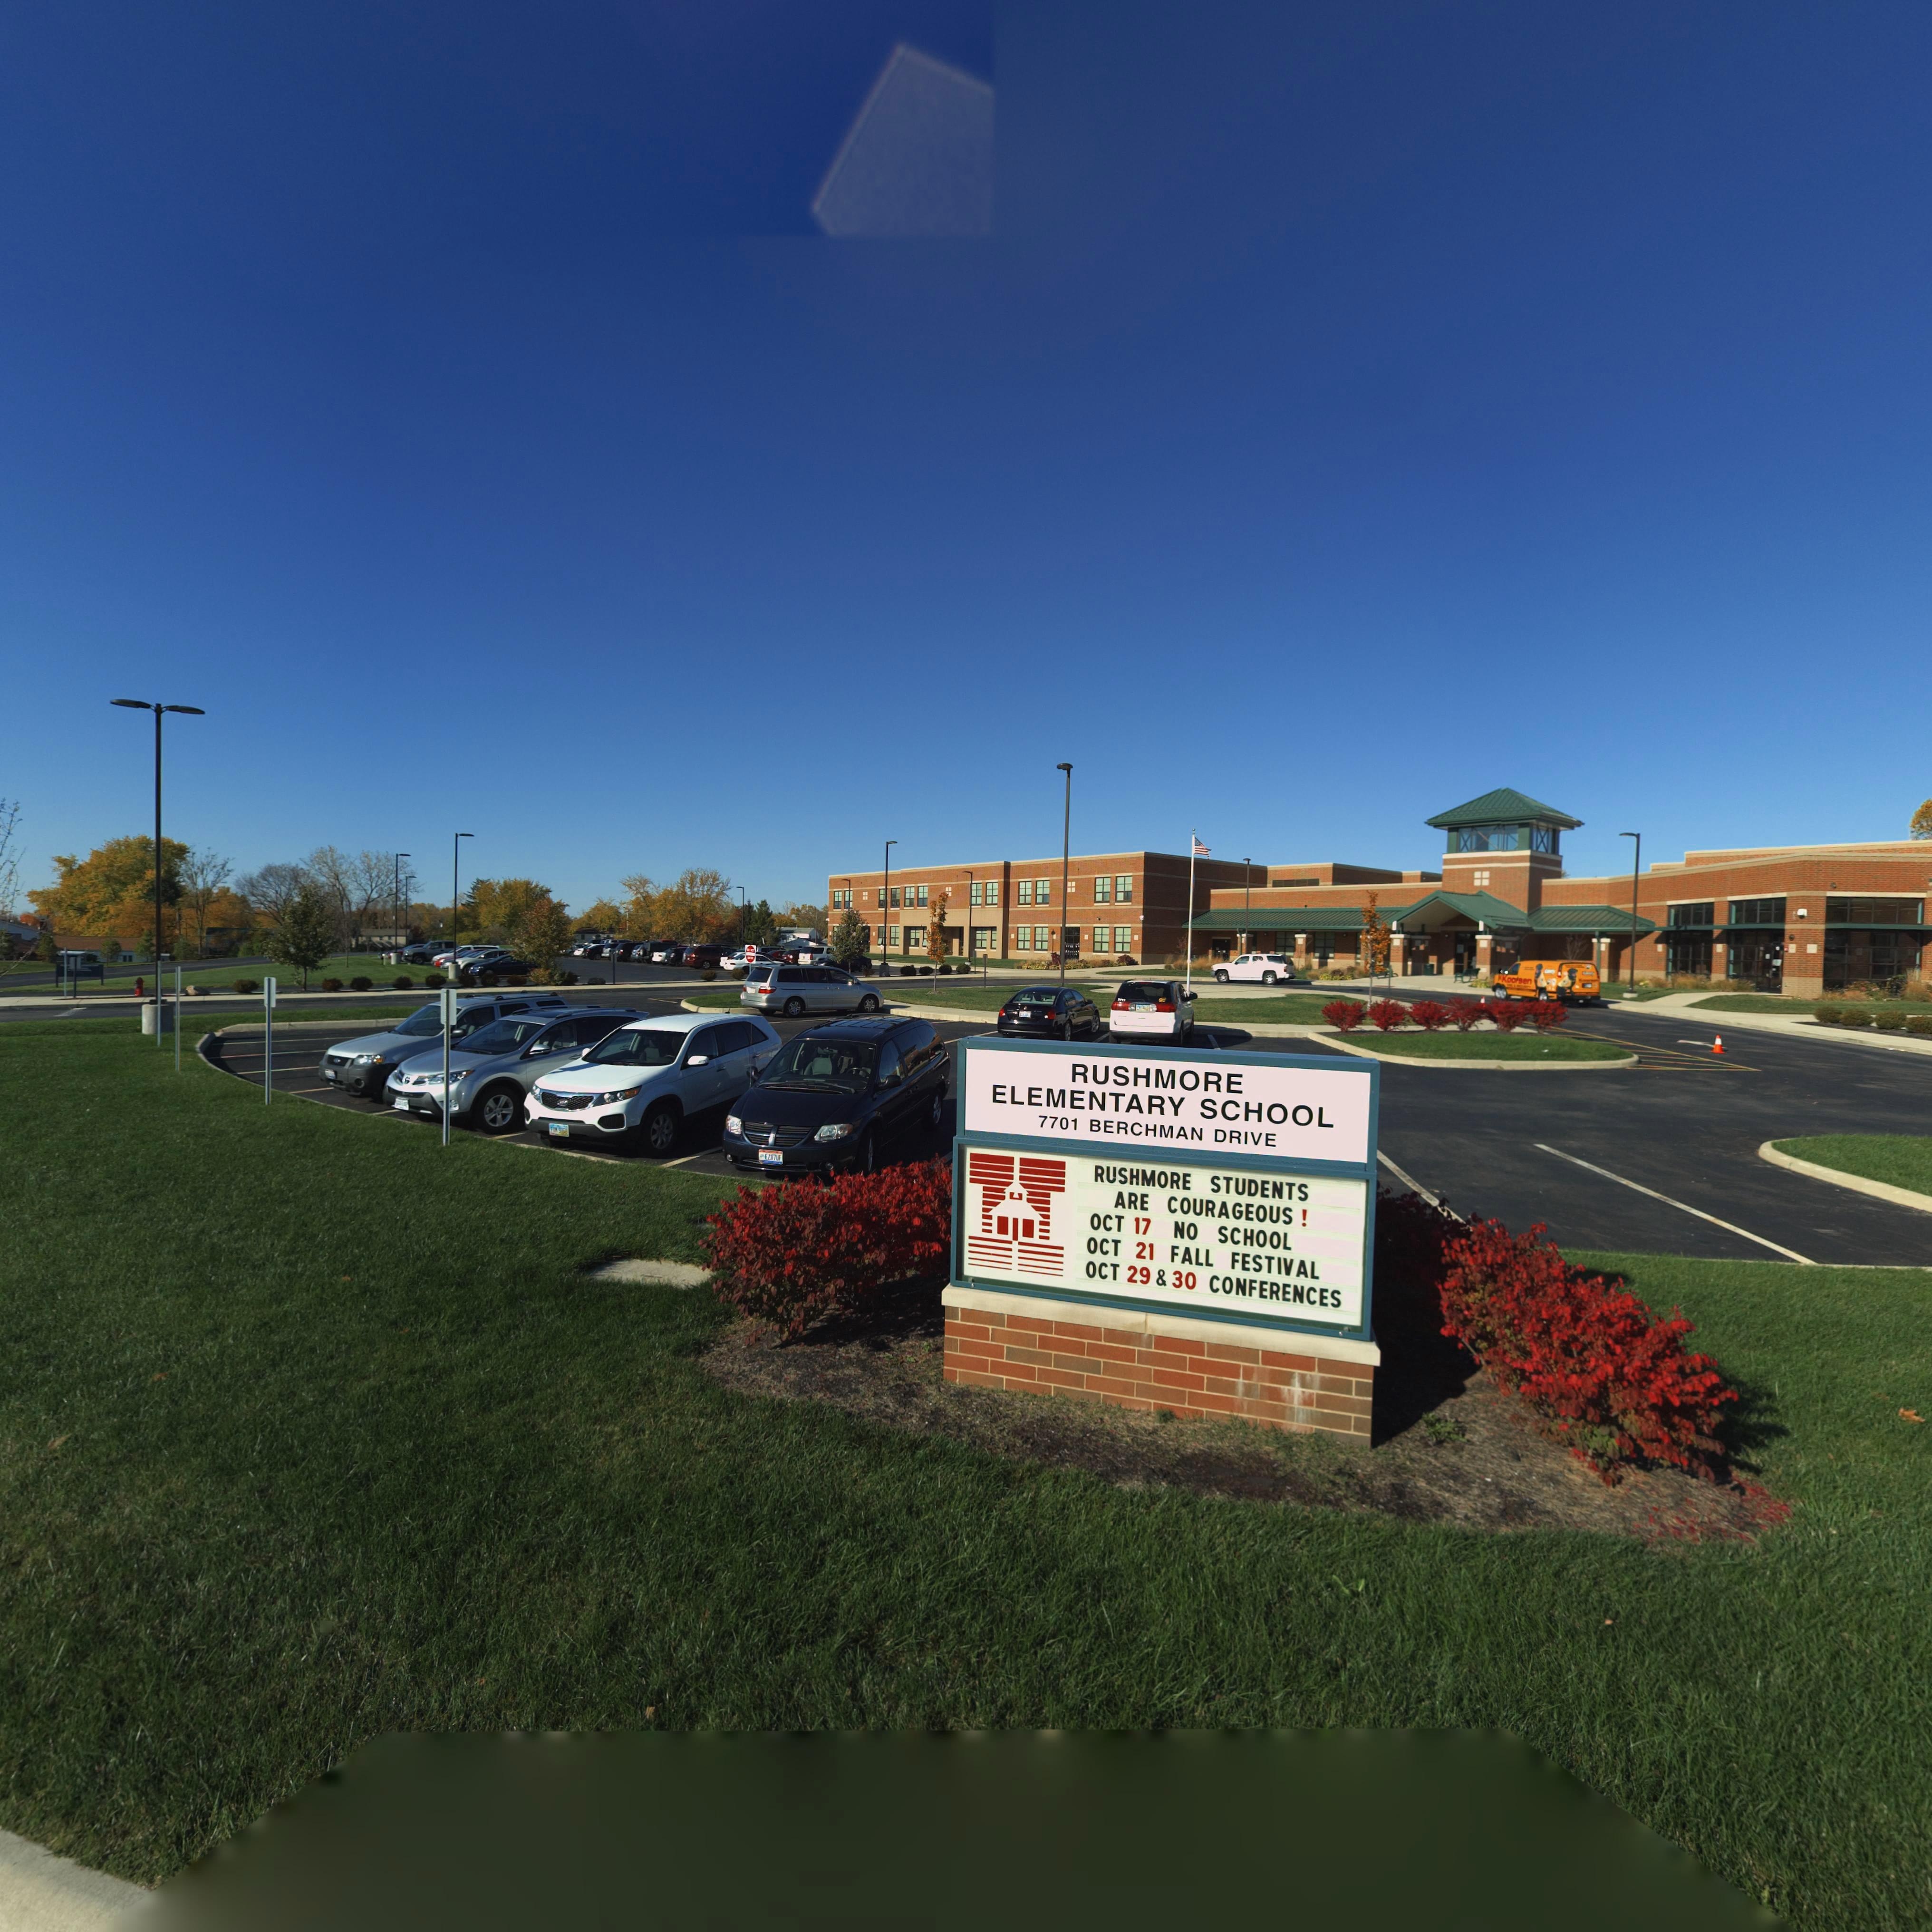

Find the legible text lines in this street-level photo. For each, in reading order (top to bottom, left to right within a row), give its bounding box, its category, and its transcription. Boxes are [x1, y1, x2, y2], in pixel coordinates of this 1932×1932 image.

[1071, 1062, 1245, 1096] BusinessName: RUSHMORE
[1037, 1114, 1079, 1132] StreetNumber: 7701
[991, 1083, 1335, 1130] BusinessName: ELEMENTARY SCHOOL
[1088, 1118, 1277, 1149] StreetName: BERCHMAN DRIVE